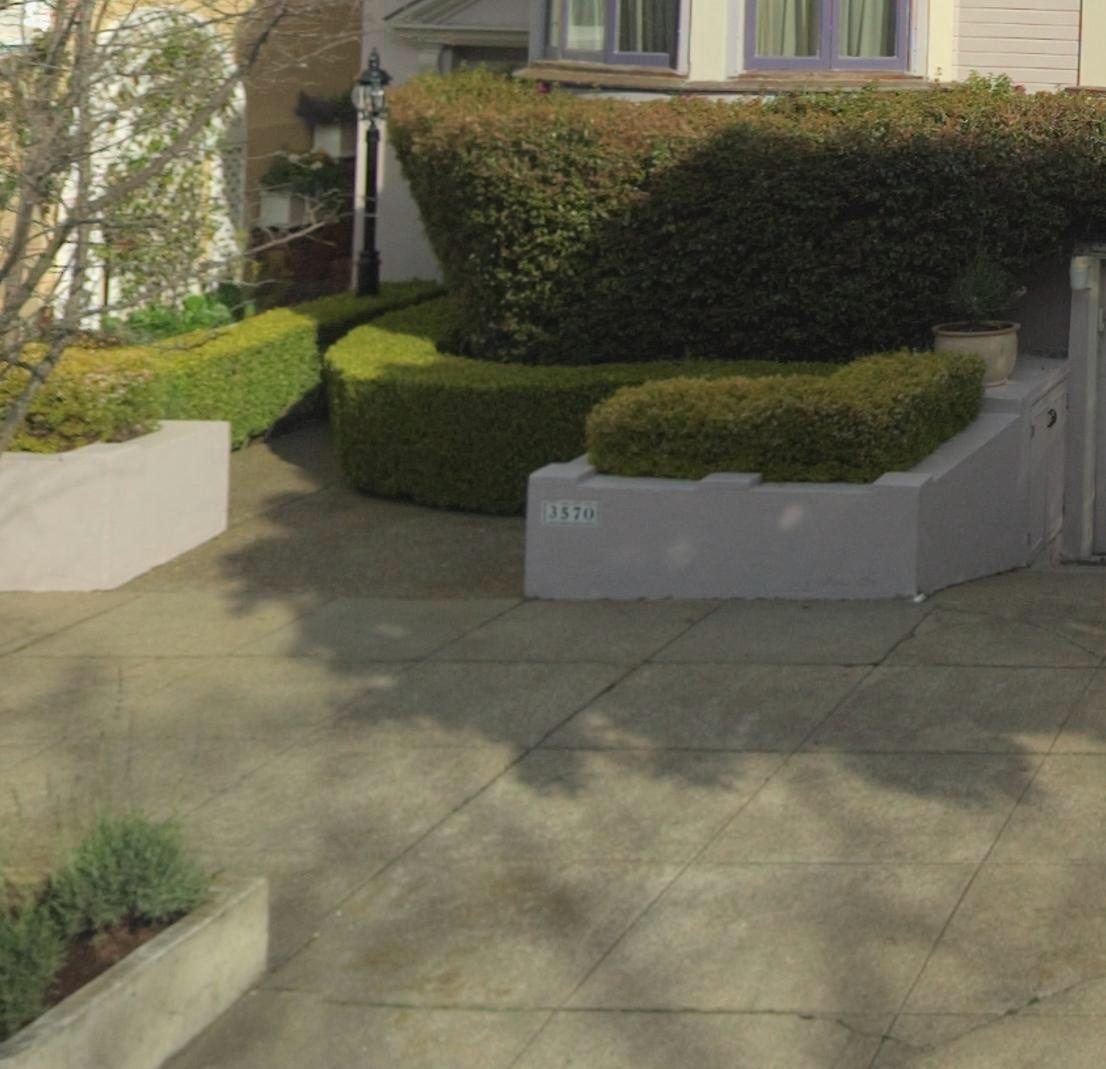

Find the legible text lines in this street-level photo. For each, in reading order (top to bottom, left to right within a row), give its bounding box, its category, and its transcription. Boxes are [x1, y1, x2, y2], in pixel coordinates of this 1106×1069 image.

[546, 503, 597, 523] StreetNumber: 3570